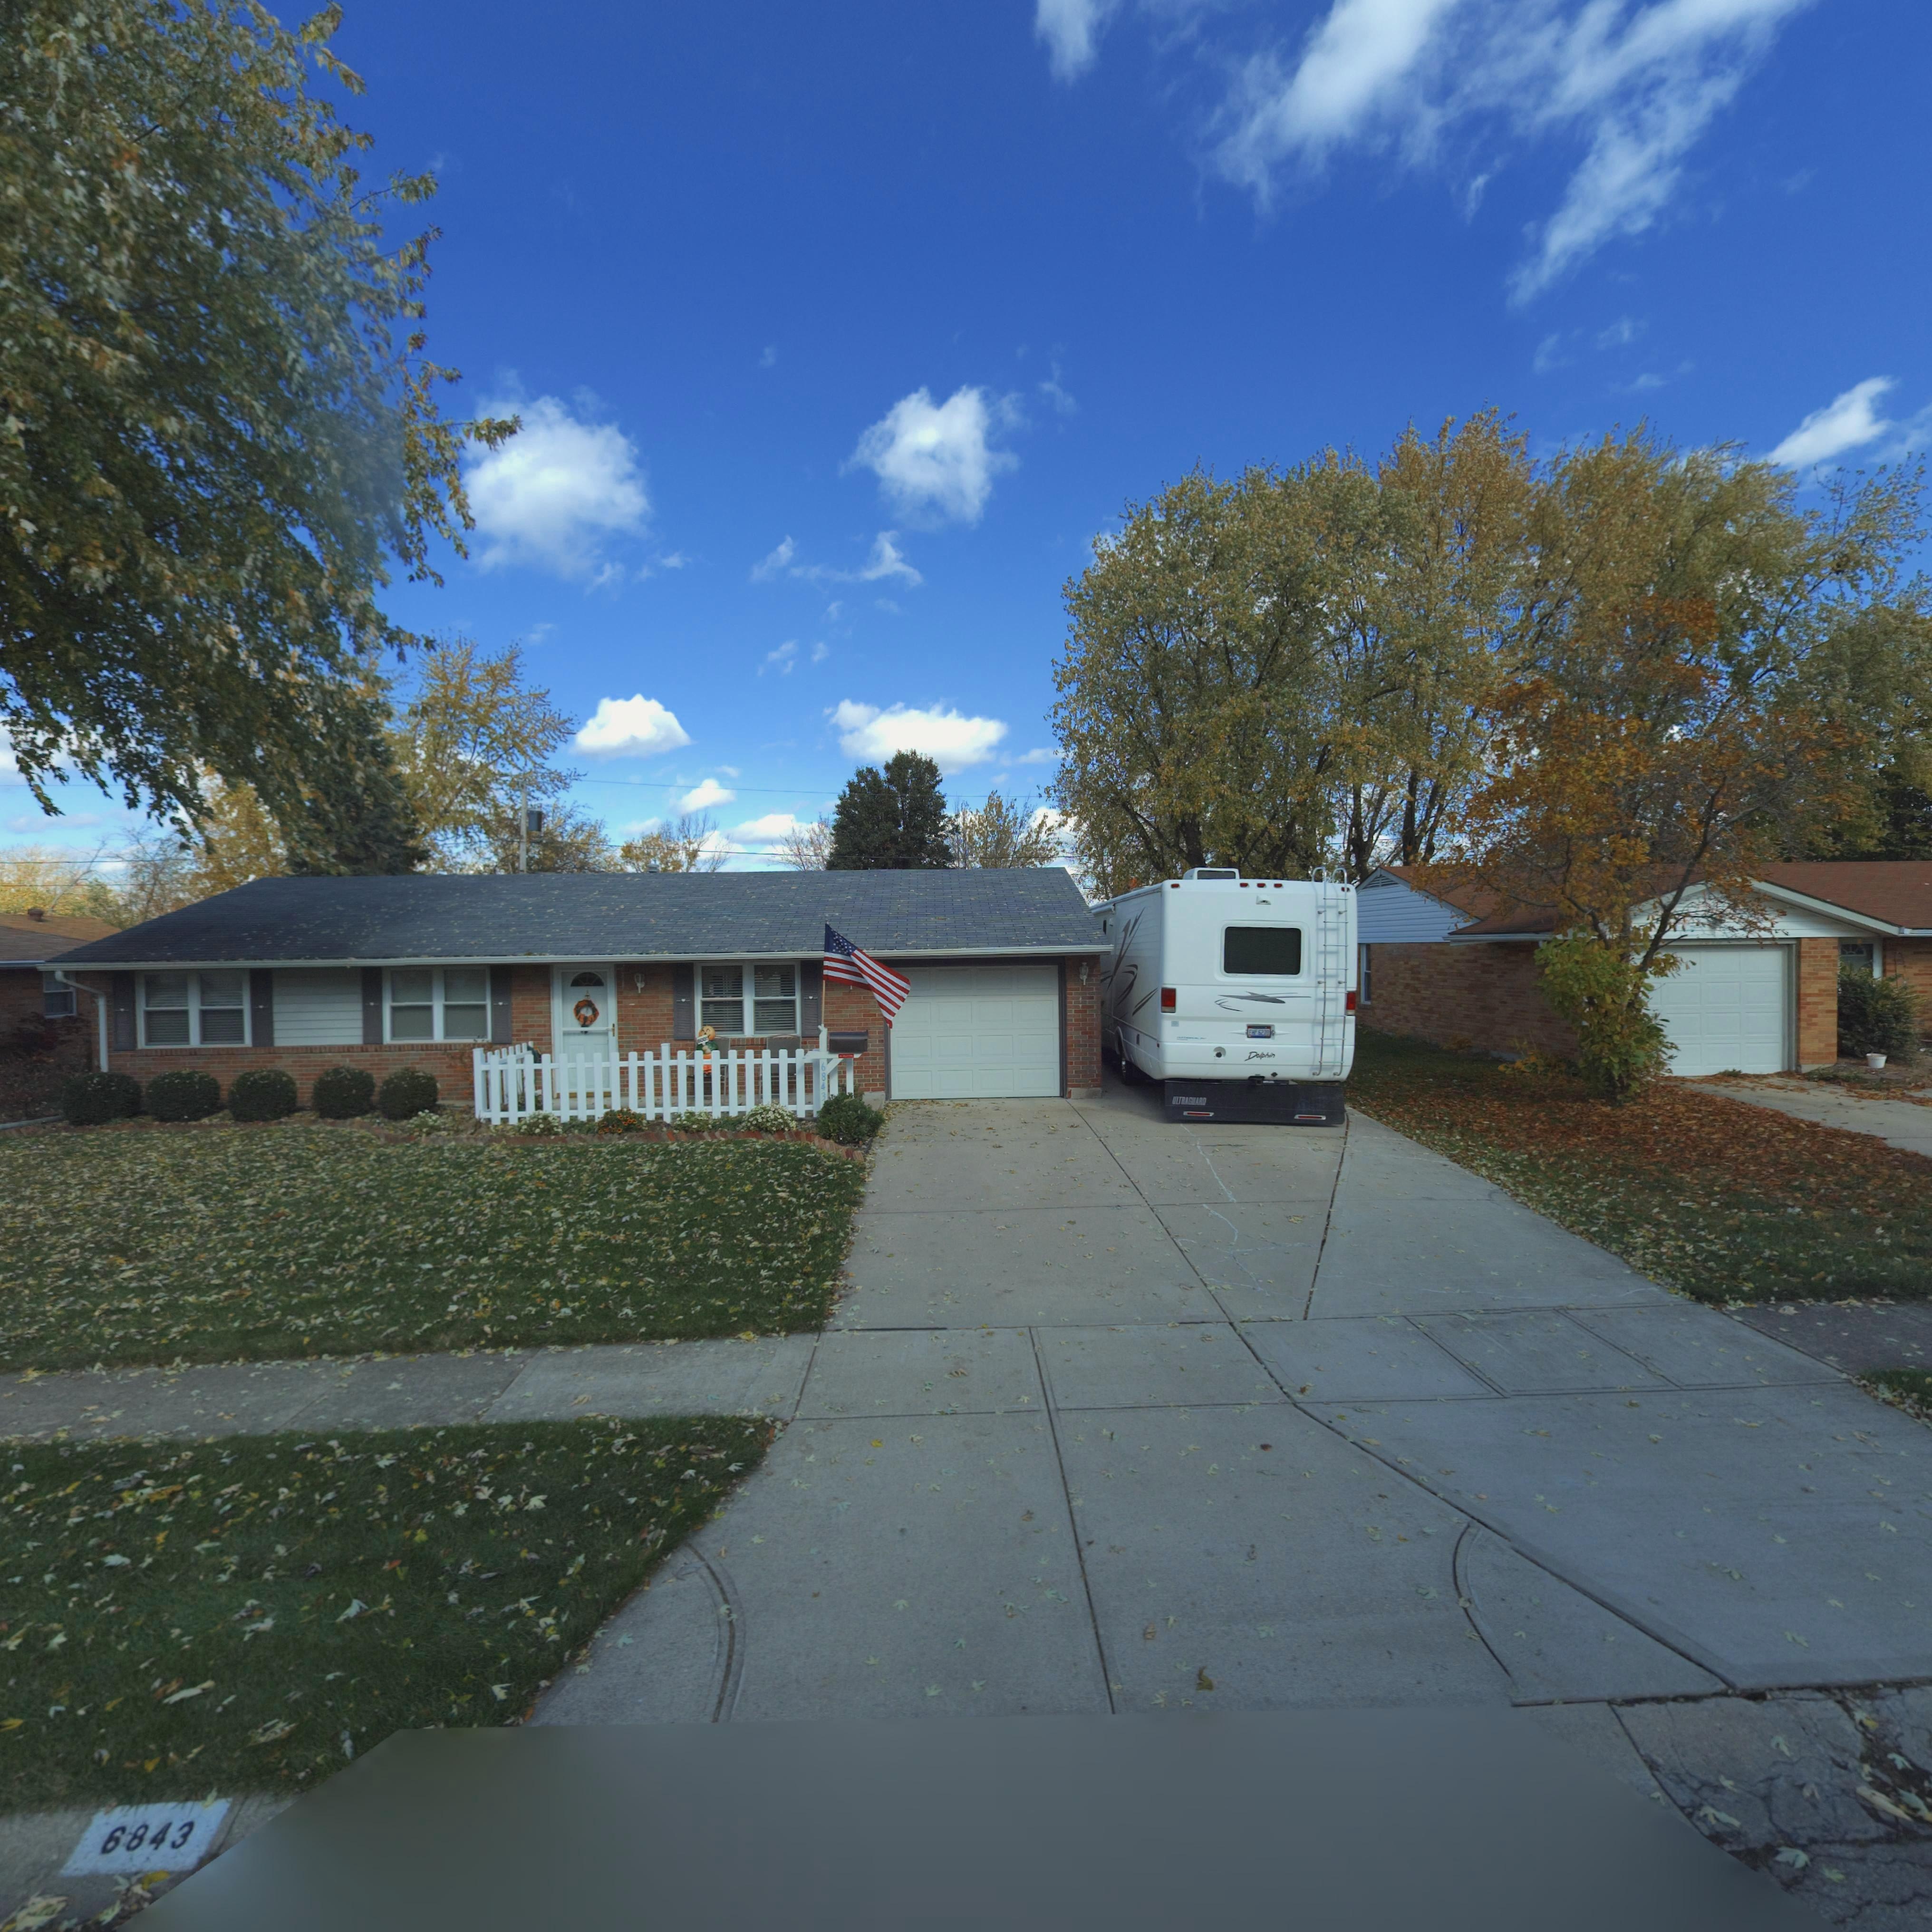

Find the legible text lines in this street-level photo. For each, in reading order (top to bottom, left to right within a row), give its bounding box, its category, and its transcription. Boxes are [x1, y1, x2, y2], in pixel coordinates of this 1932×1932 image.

[820, 1061, 827, 1102] StreetNumber: 6843
[99, 1820, 196, 1855] StreetNumber: 6843